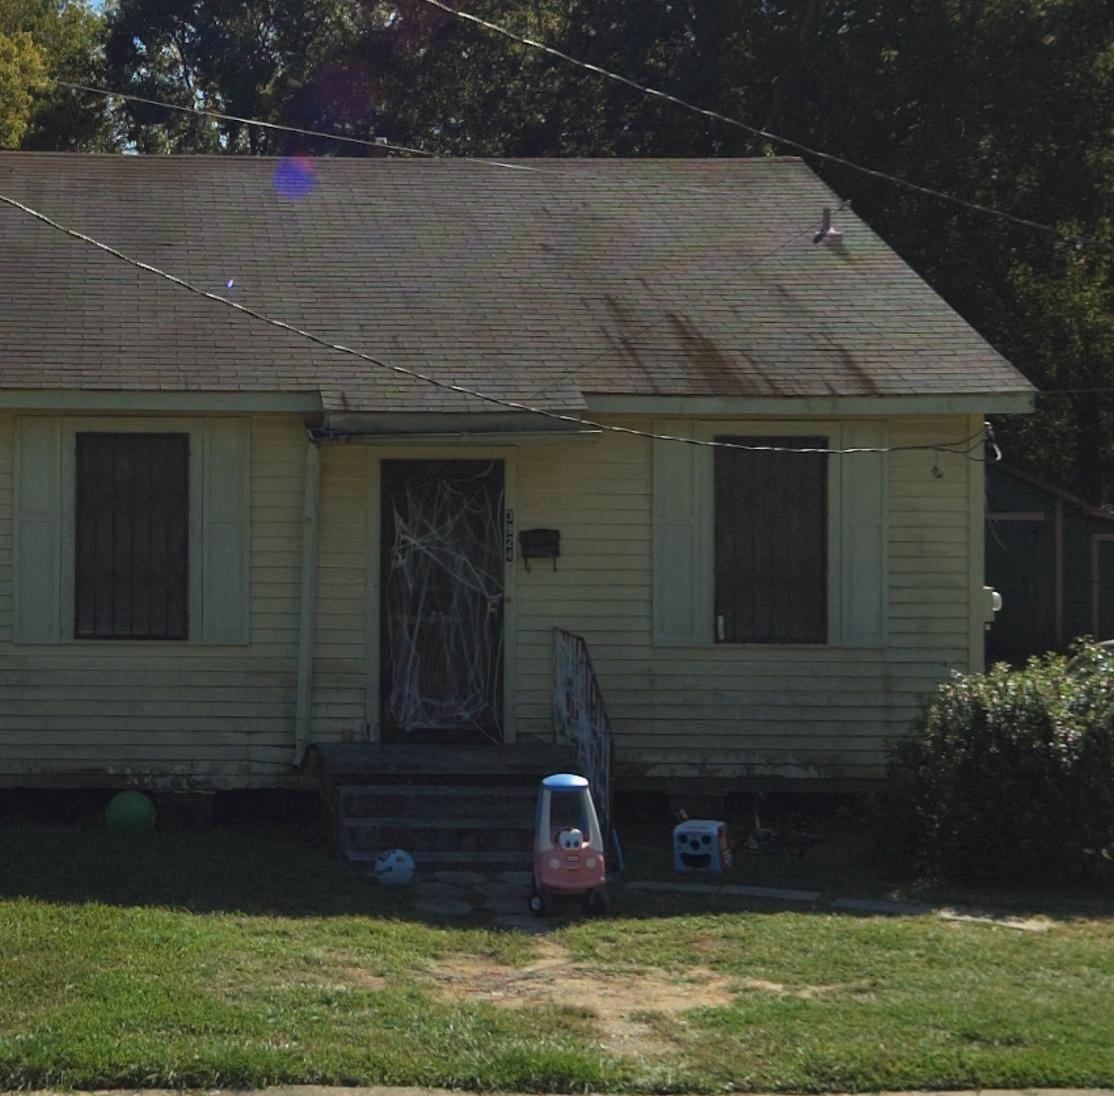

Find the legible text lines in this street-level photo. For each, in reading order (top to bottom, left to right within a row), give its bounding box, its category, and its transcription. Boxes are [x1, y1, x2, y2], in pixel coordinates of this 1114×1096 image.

[506, 509, 514, 561] StreetNumber: 3924